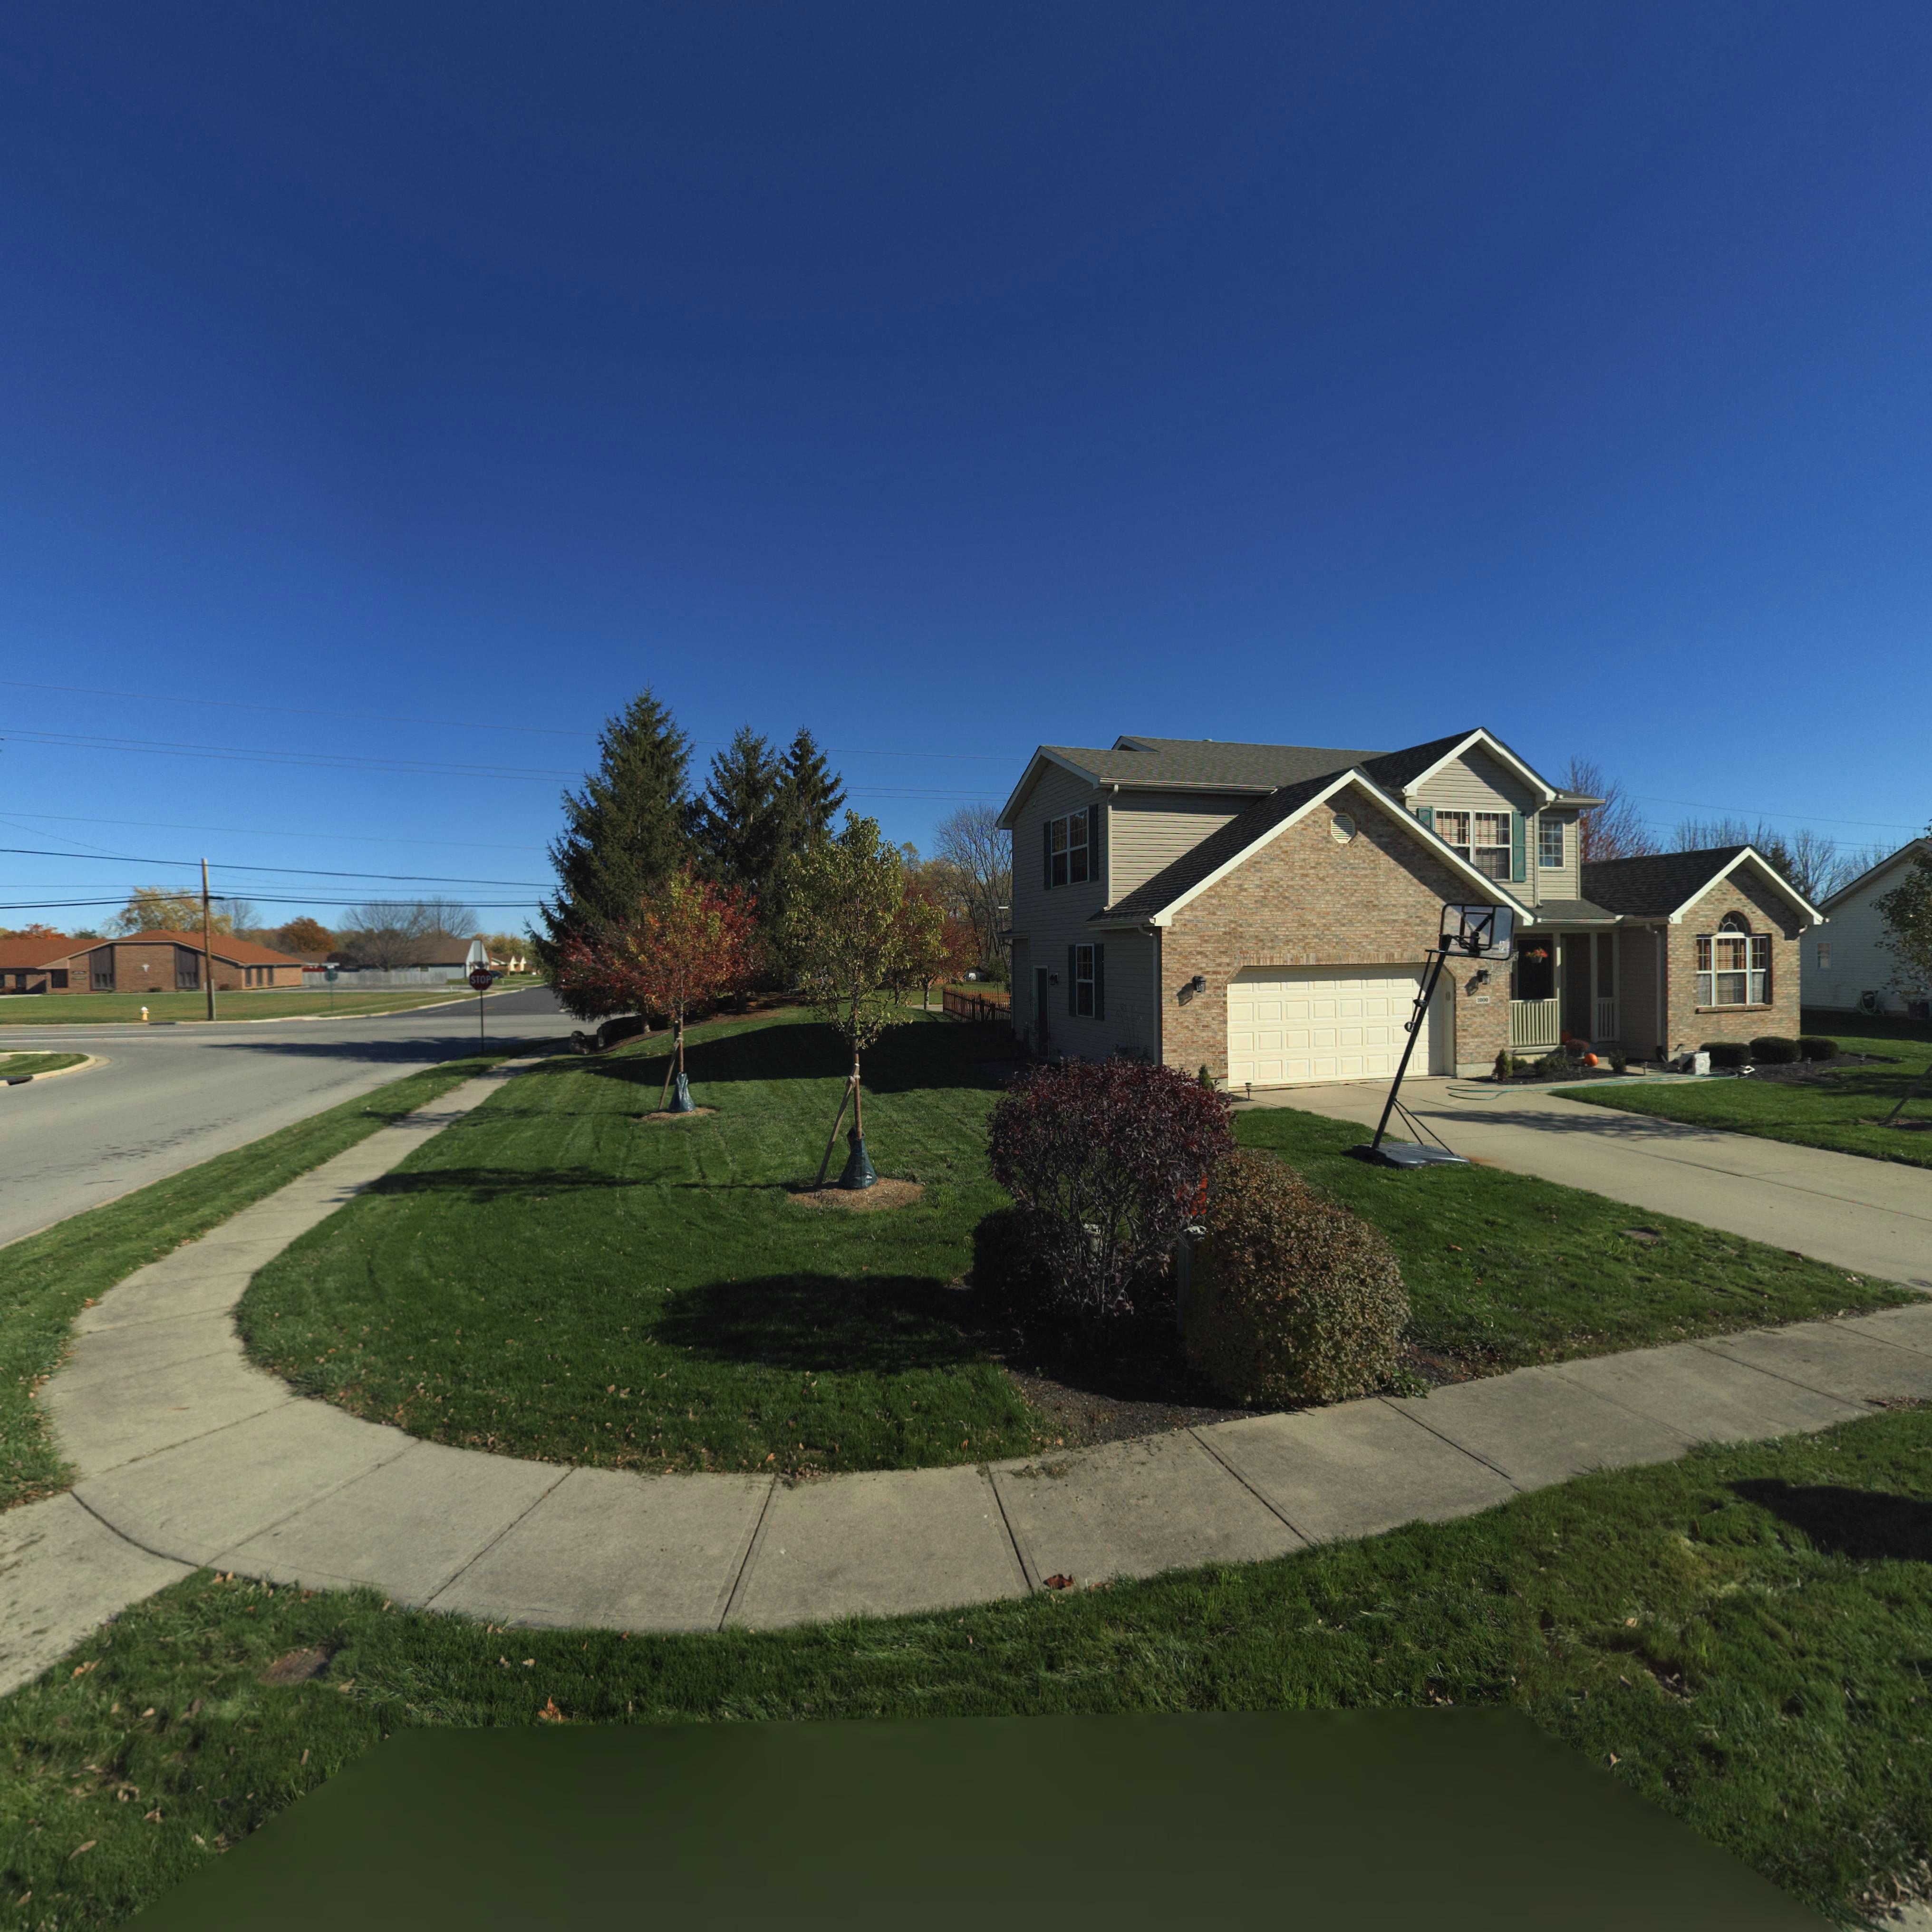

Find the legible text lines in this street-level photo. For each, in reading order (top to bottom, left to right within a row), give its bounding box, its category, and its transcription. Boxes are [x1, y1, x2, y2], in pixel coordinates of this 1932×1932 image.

[1477, 997, 1488, 1003] StreetNumber: 1000